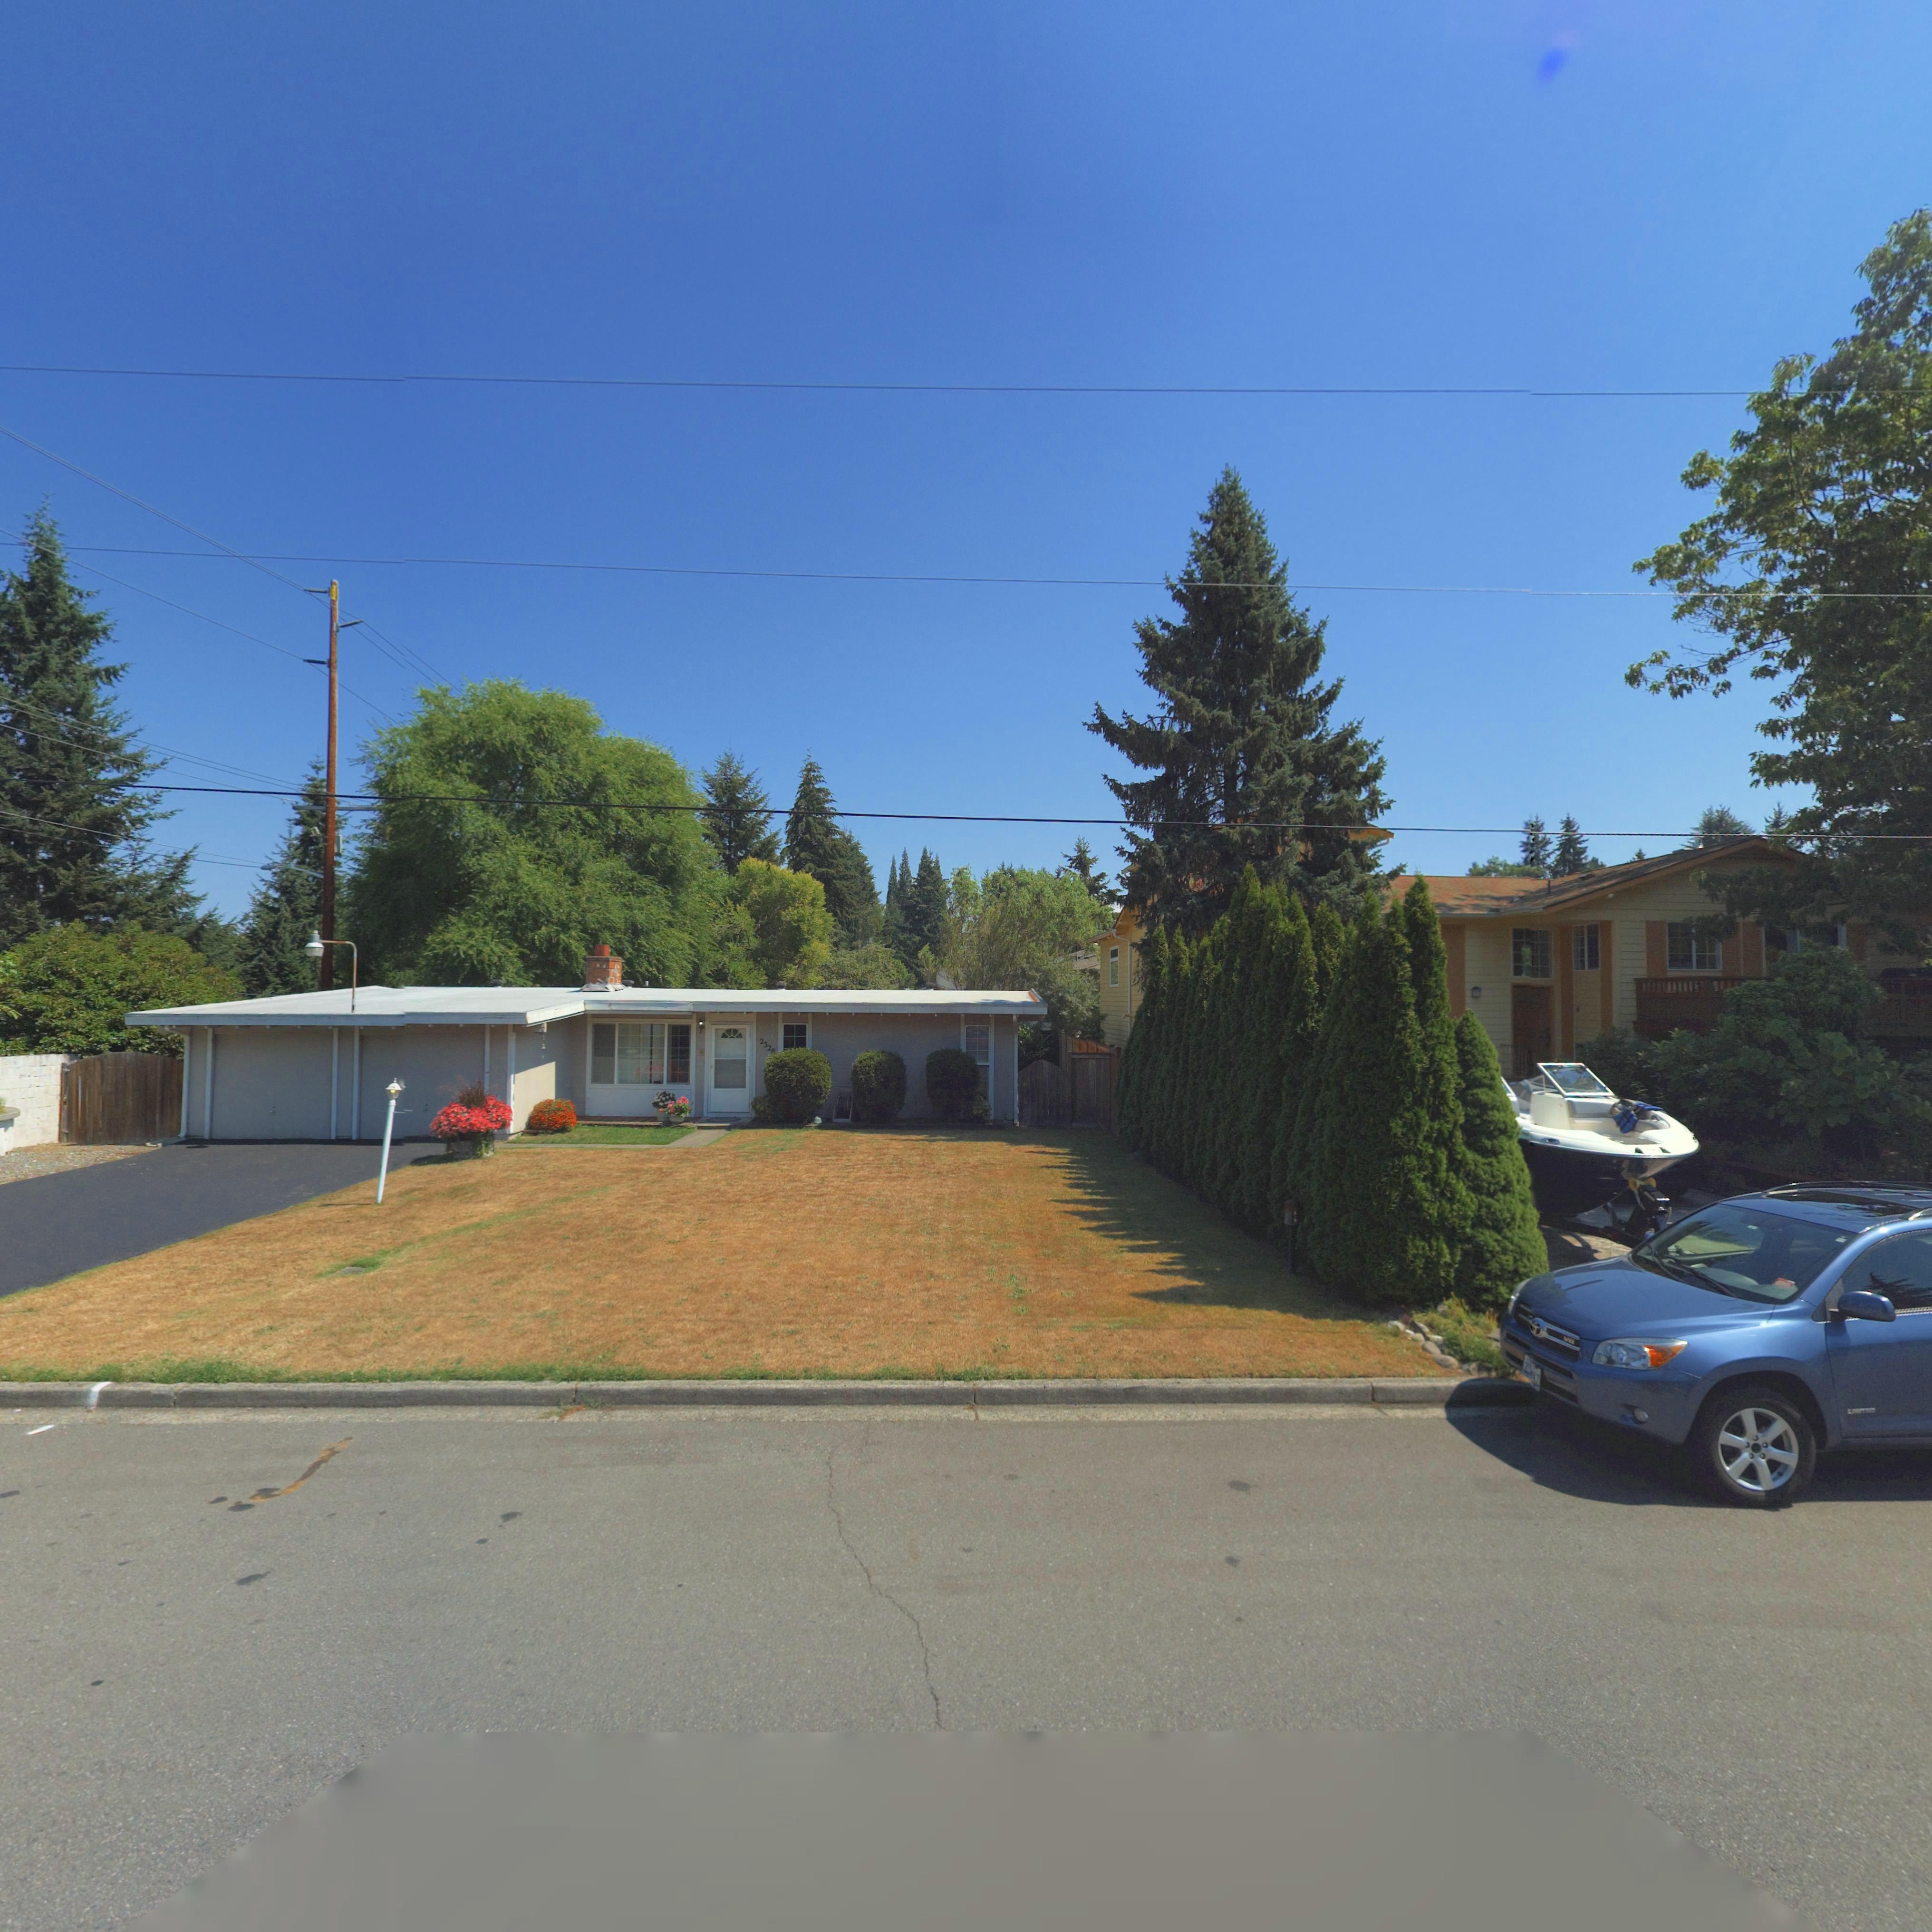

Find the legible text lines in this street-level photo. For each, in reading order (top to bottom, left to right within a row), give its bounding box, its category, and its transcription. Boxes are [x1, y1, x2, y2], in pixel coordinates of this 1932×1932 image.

[759, 1037, 775, 1053] StreetNumber: 2328